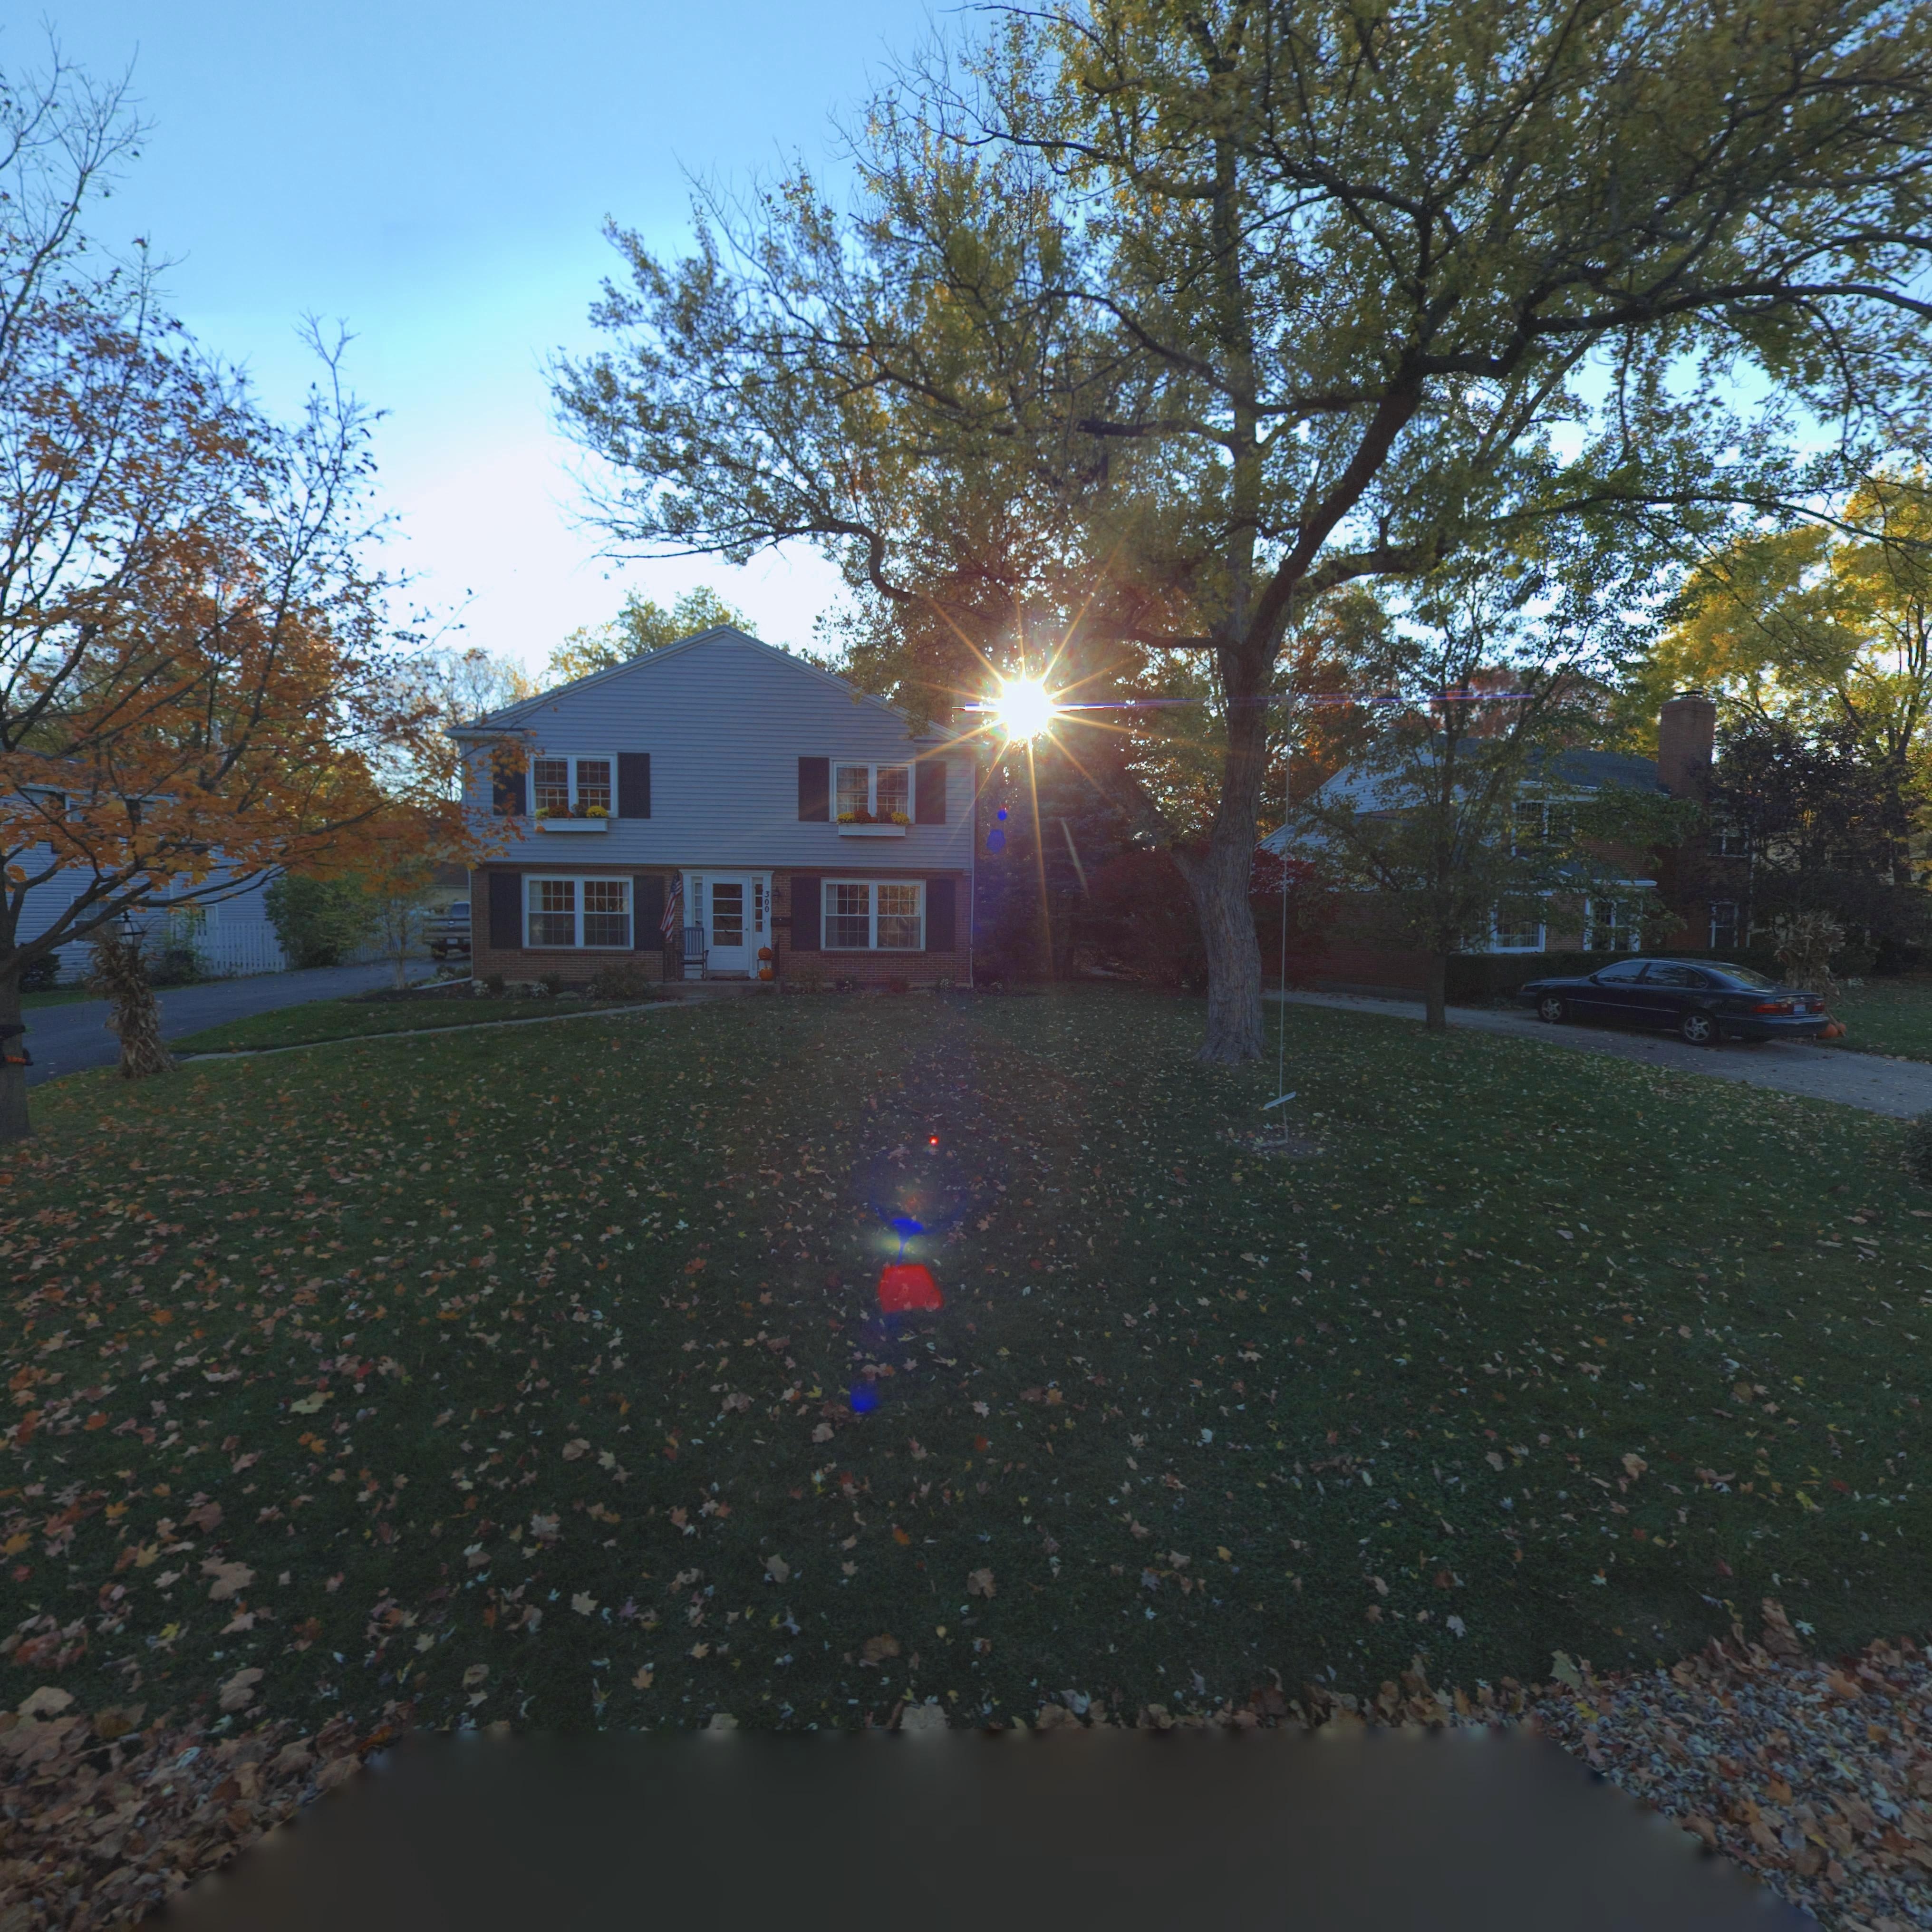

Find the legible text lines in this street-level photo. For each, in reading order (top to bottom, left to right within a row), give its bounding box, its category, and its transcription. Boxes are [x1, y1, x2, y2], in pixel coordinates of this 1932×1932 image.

[763, 890, 770, 913] StreetNumber: 300